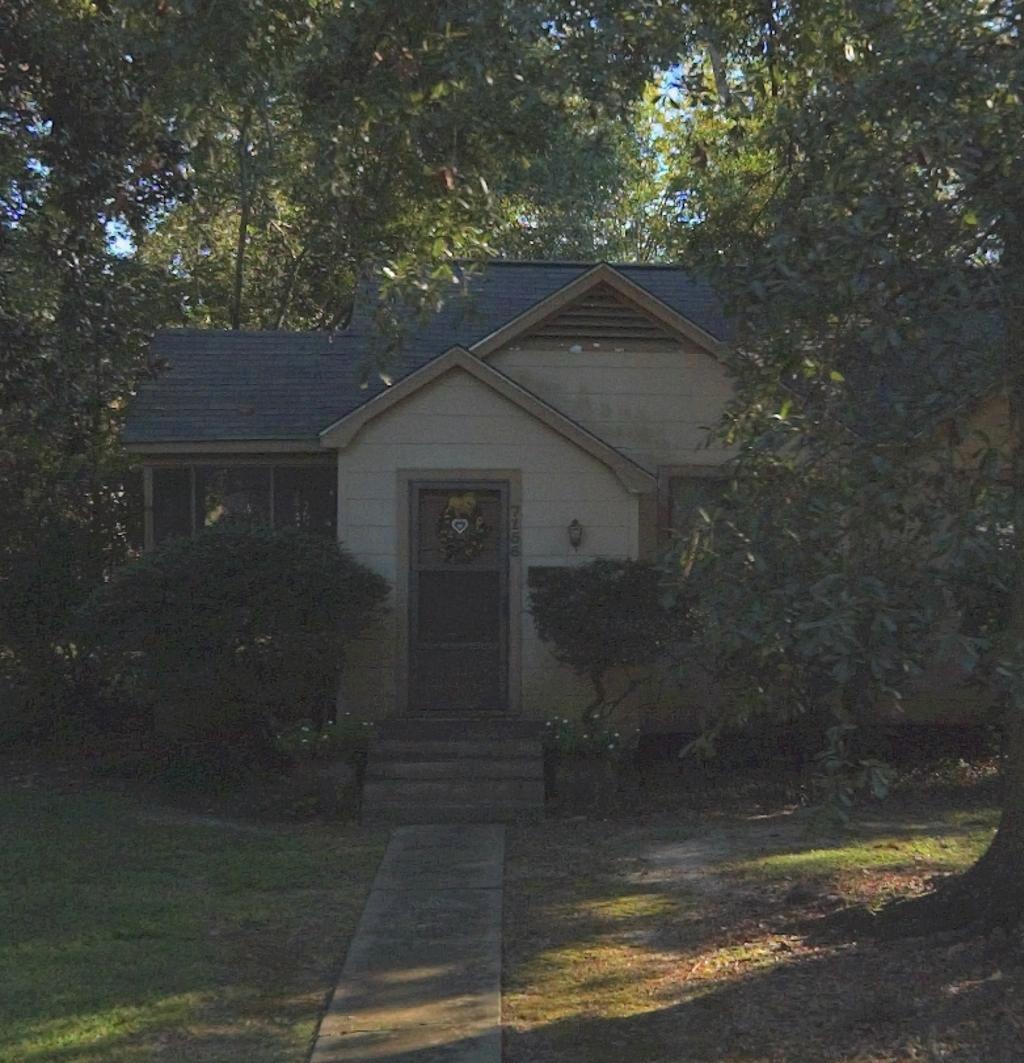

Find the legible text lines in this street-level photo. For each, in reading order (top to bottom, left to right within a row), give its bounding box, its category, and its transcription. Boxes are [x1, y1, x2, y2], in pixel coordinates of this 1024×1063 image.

[509, 503, 521, 558] StreetNumber: 7156